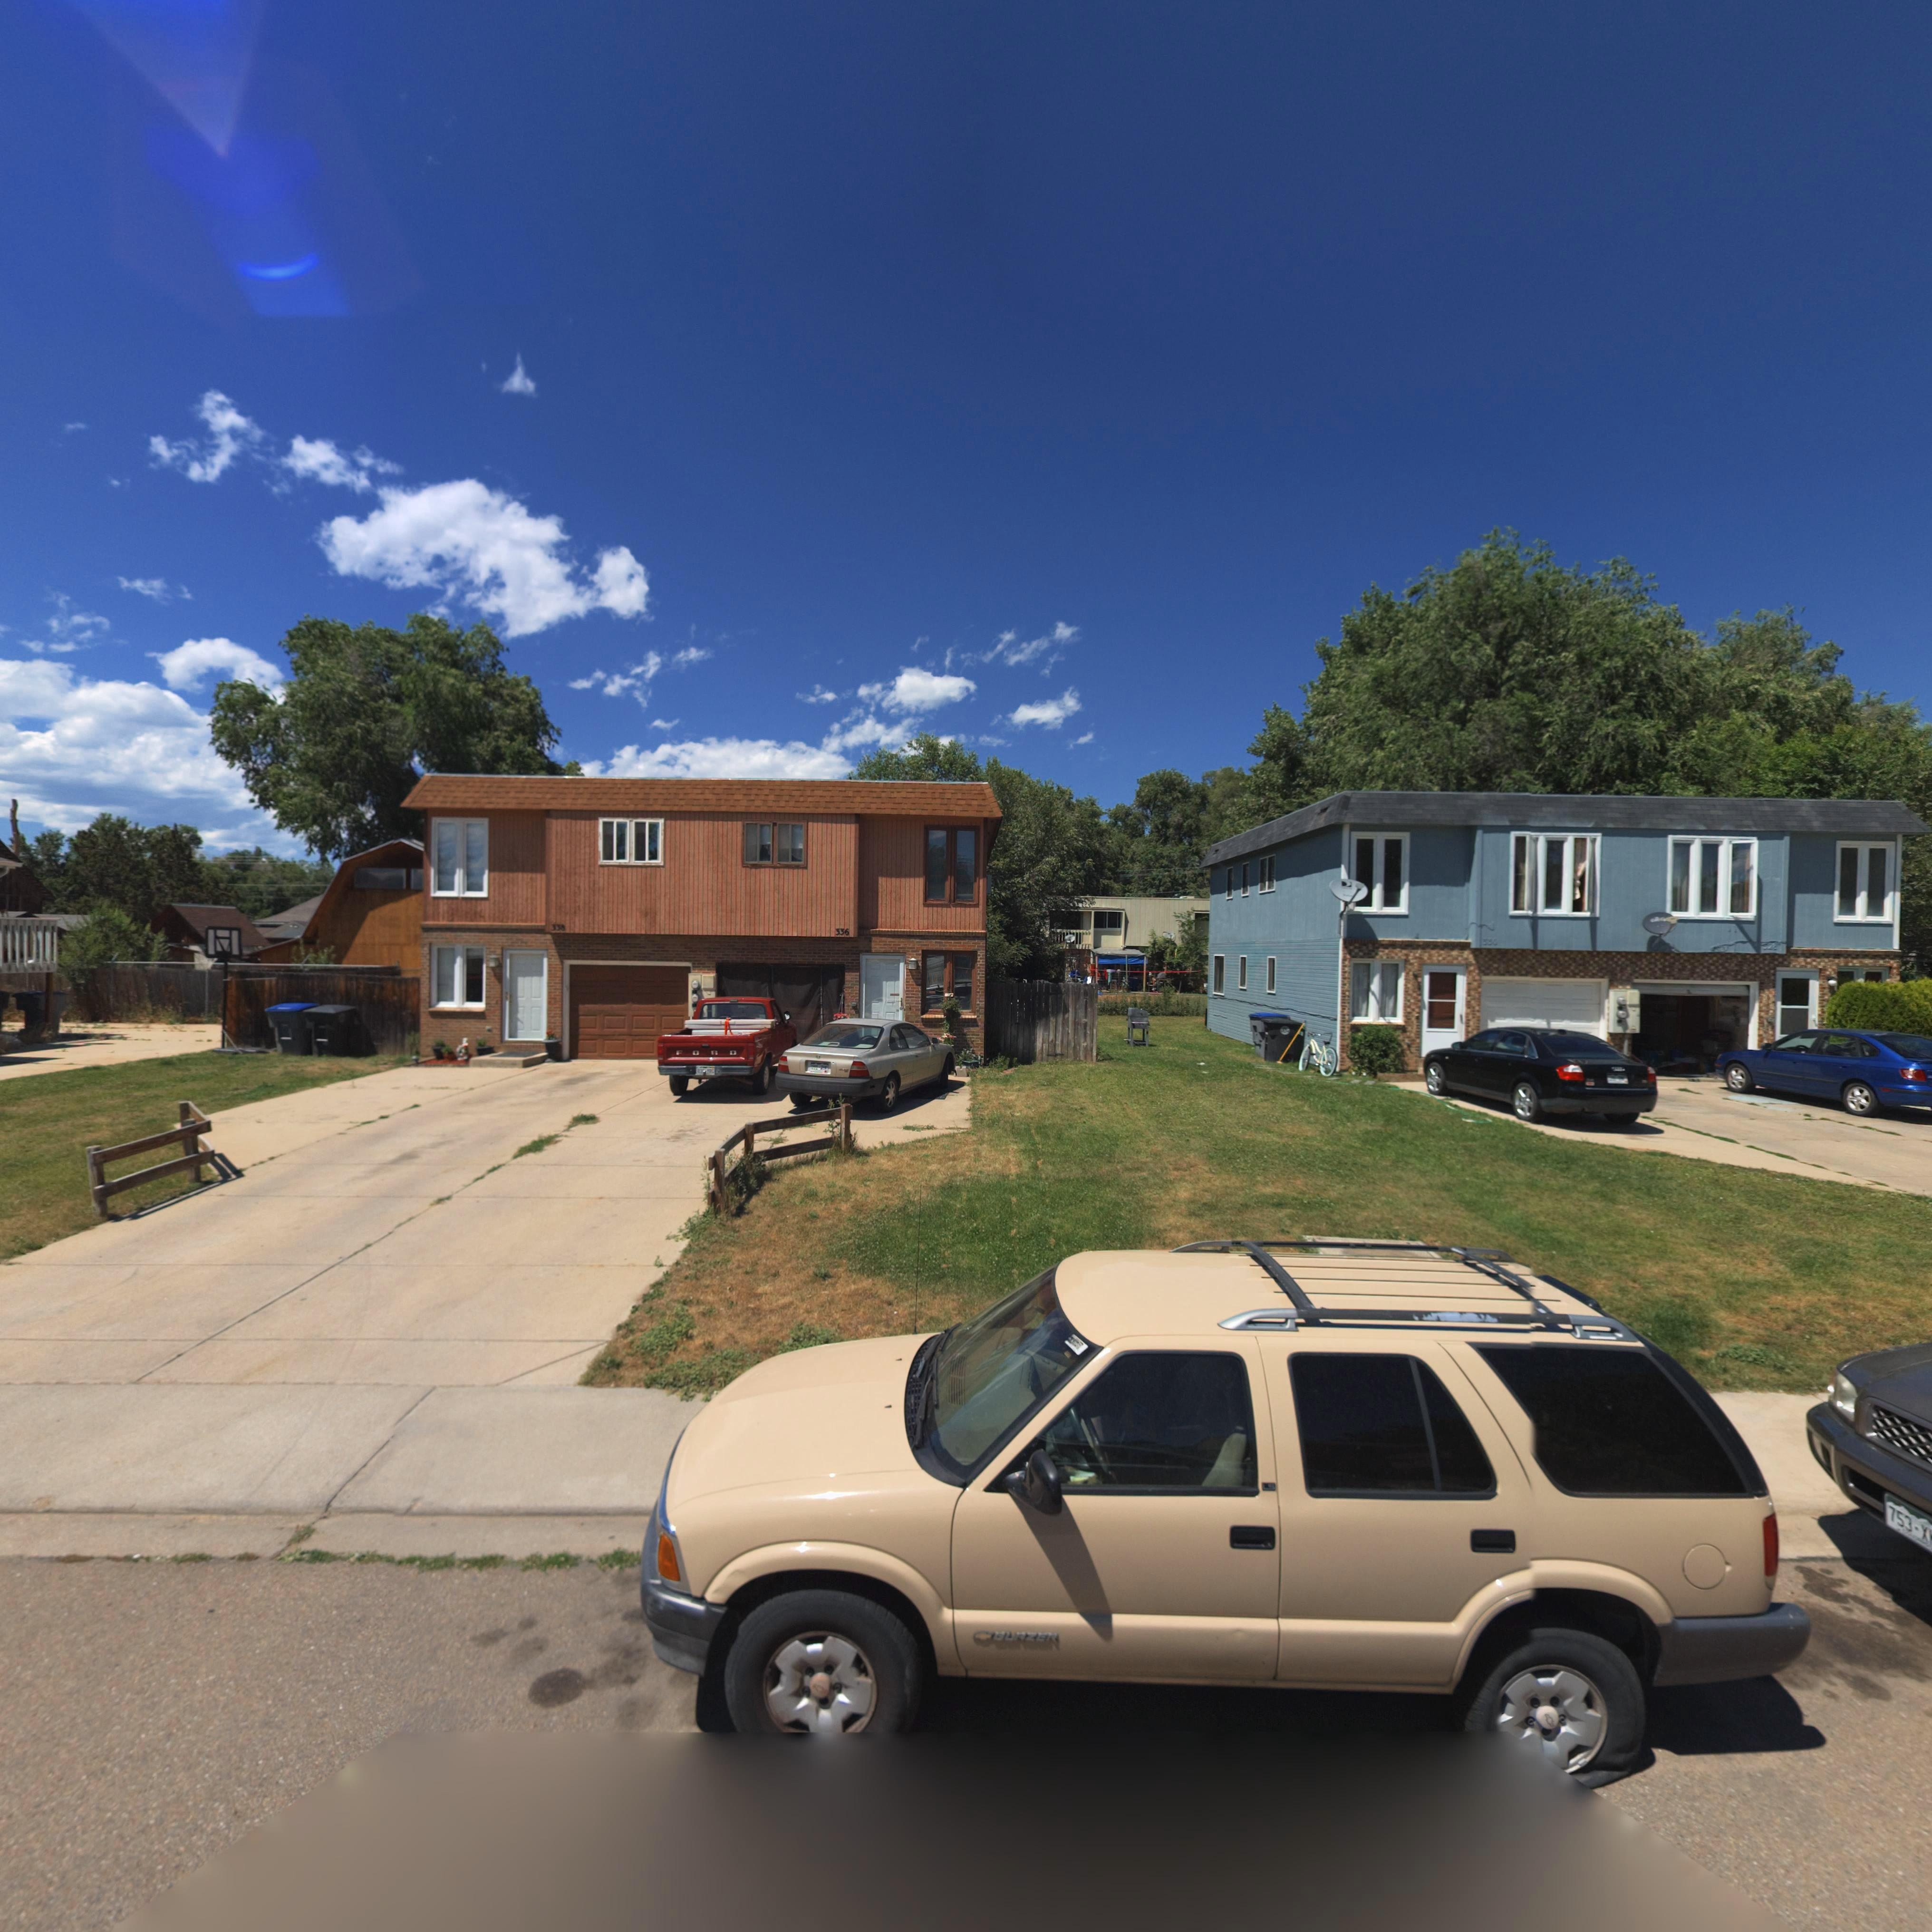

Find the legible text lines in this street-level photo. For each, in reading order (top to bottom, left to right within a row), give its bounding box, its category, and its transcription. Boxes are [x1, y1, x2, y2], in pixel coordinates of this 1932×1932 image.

[551, 923, 566, 931] StreetNumber: 338
[835, 927, 849, 936] StreetNumber: 336
[1481, 937, 1498, 946] StreetNumber: 336
[1762, 942, 1778, 950] StreetNumber: *2*